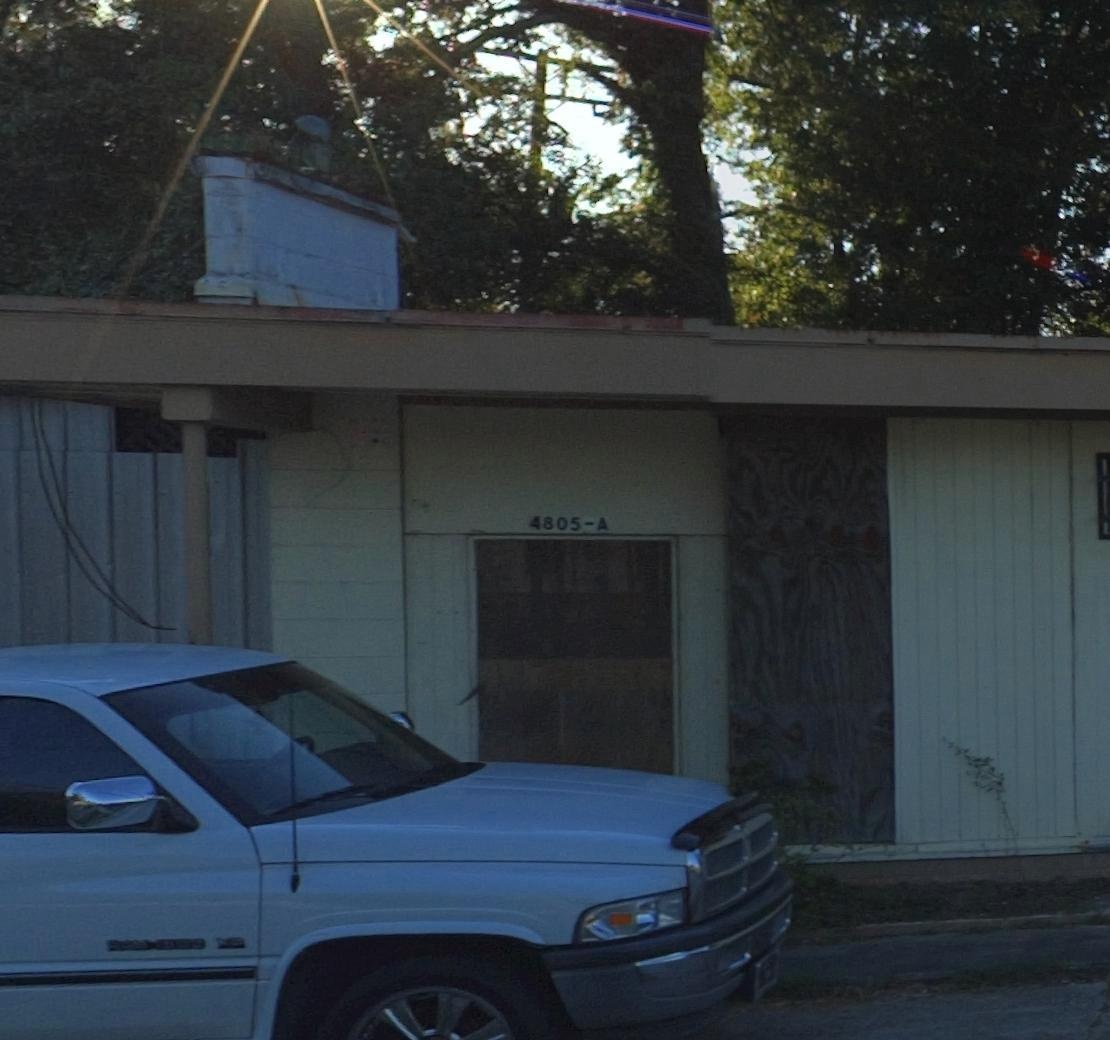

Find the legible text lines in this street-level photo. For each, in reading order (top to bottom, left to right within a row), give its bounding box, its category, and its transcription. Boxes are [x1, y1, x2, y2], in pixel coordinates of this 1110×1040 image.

[528, 515, 582, 532] StreetNumber: 4805
[595, 516, 609, 532] StreetNumber: A